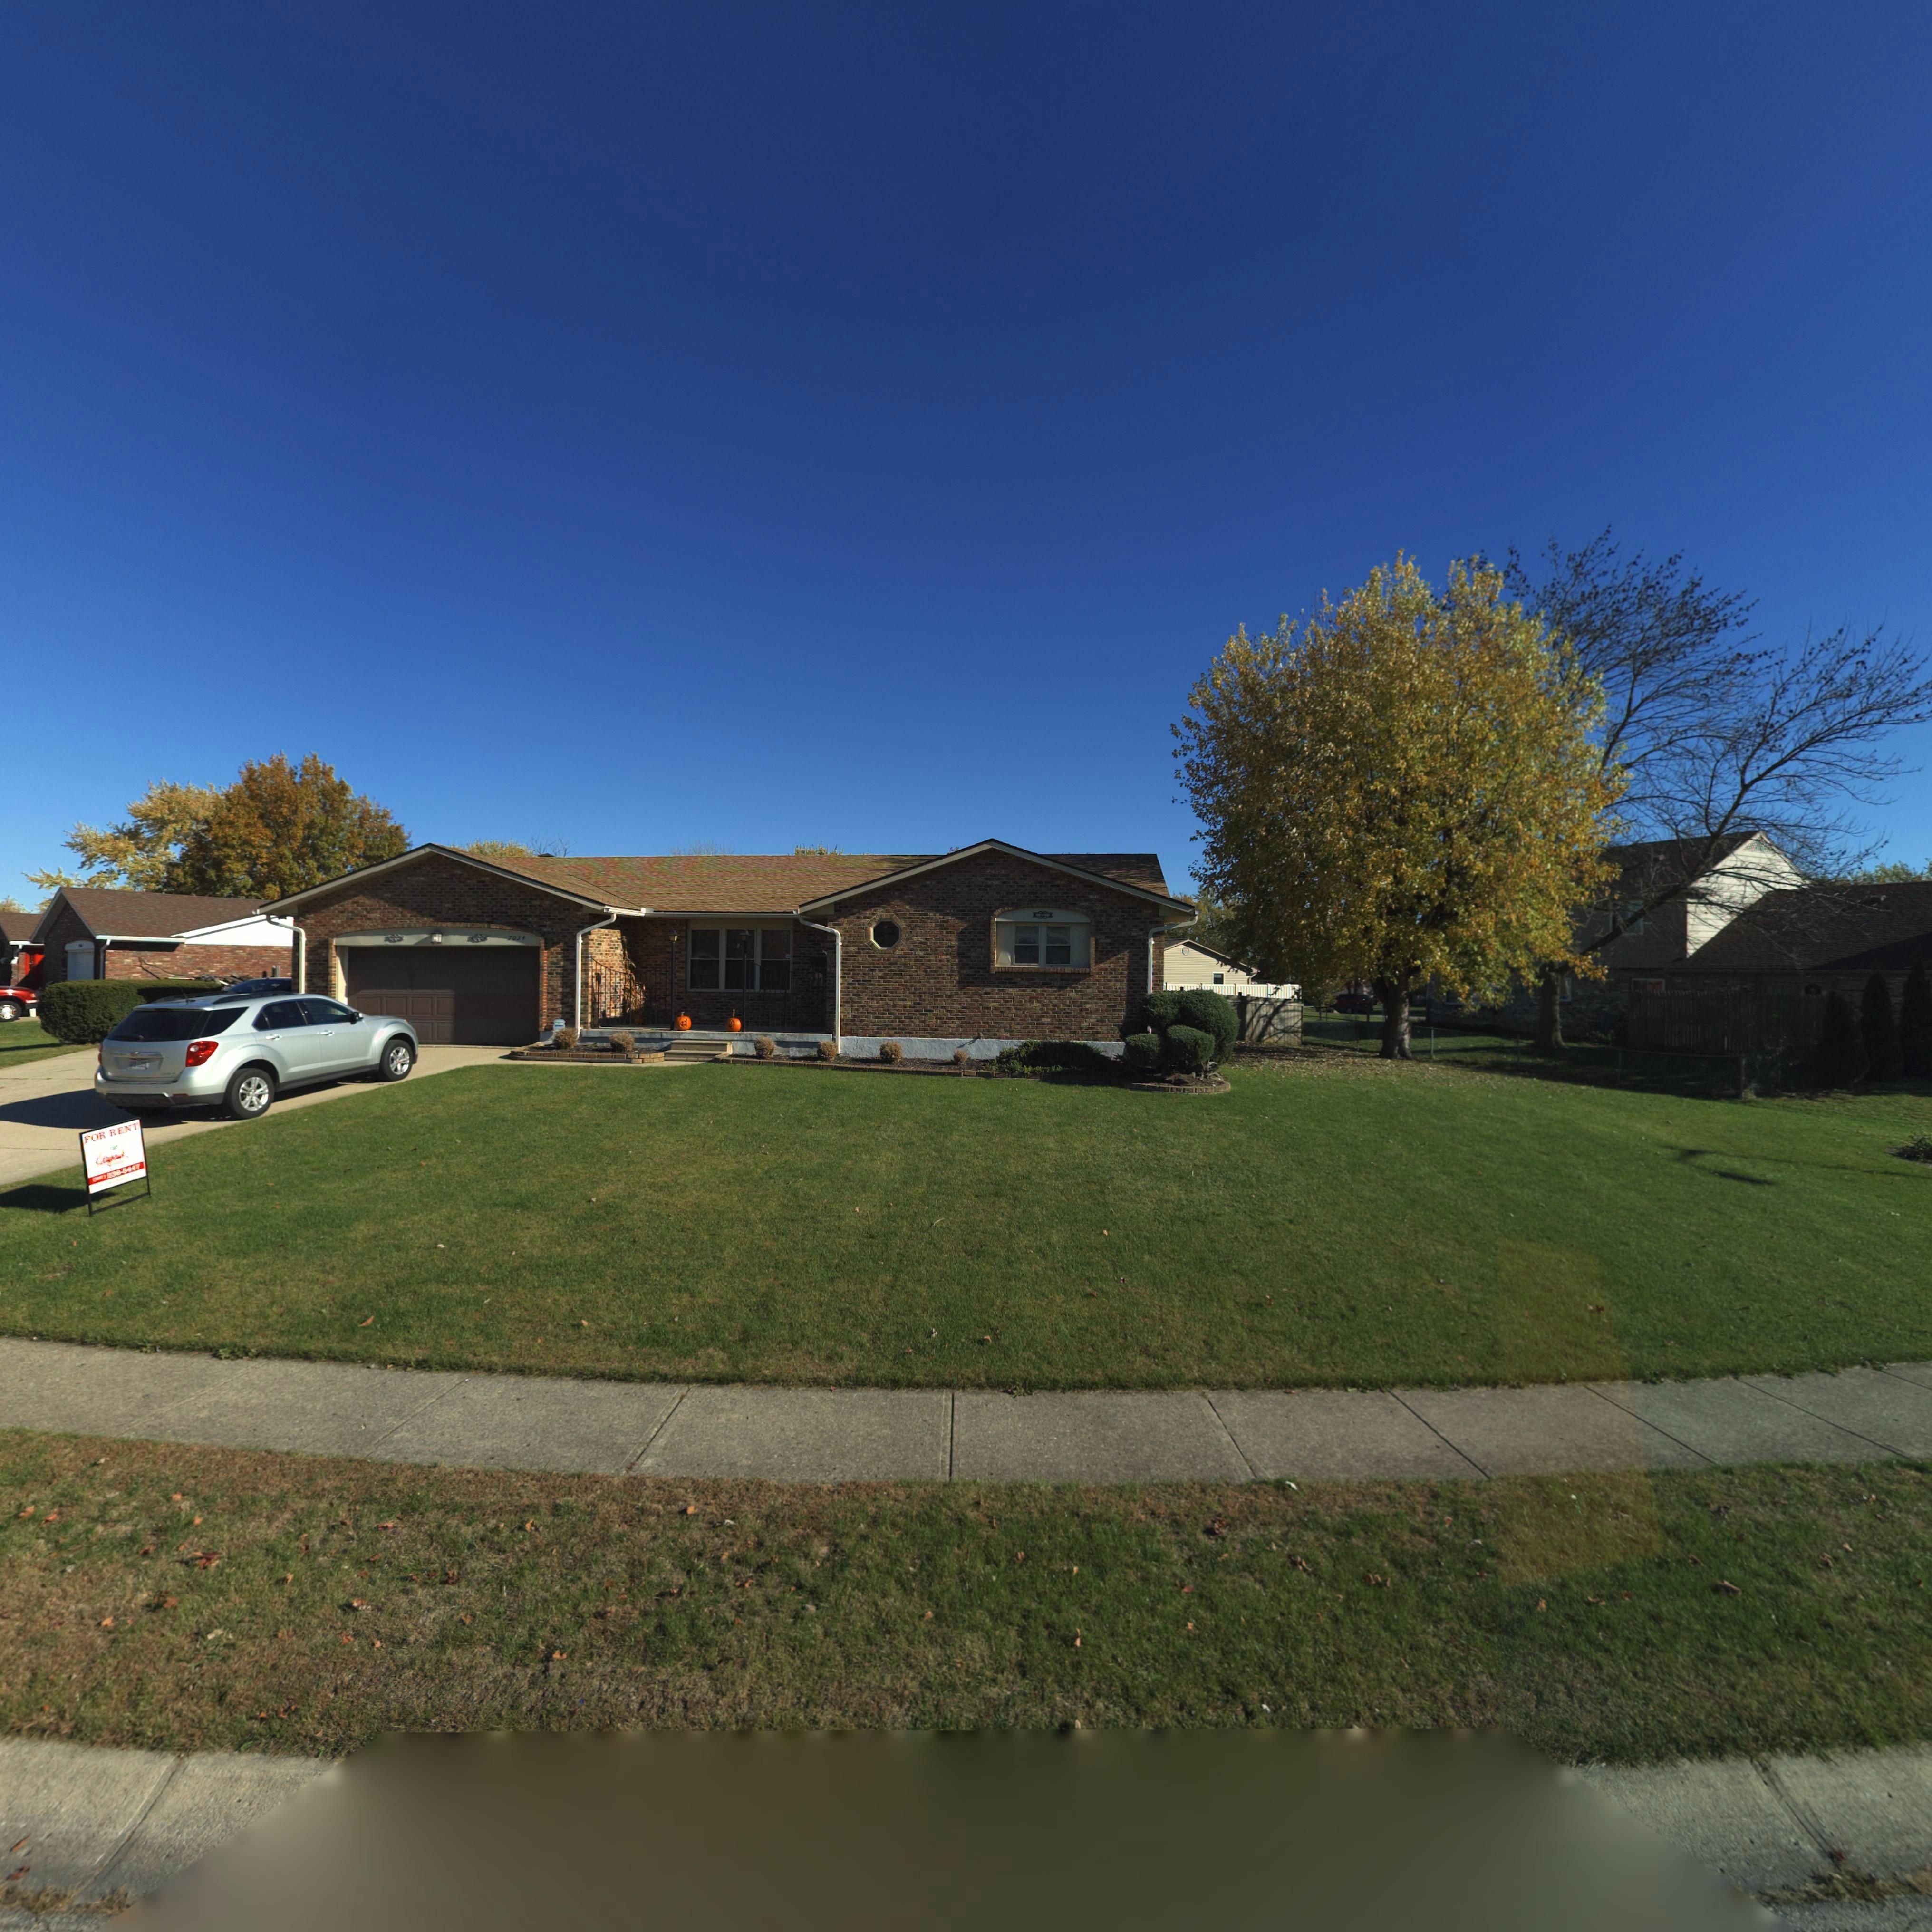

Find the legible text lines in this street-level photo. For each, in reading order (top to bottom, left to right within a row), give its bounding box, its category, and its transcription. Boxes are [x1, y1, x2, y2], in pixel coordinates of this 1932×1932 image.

[507, 935, 527, 941] StreetNumber: 7034